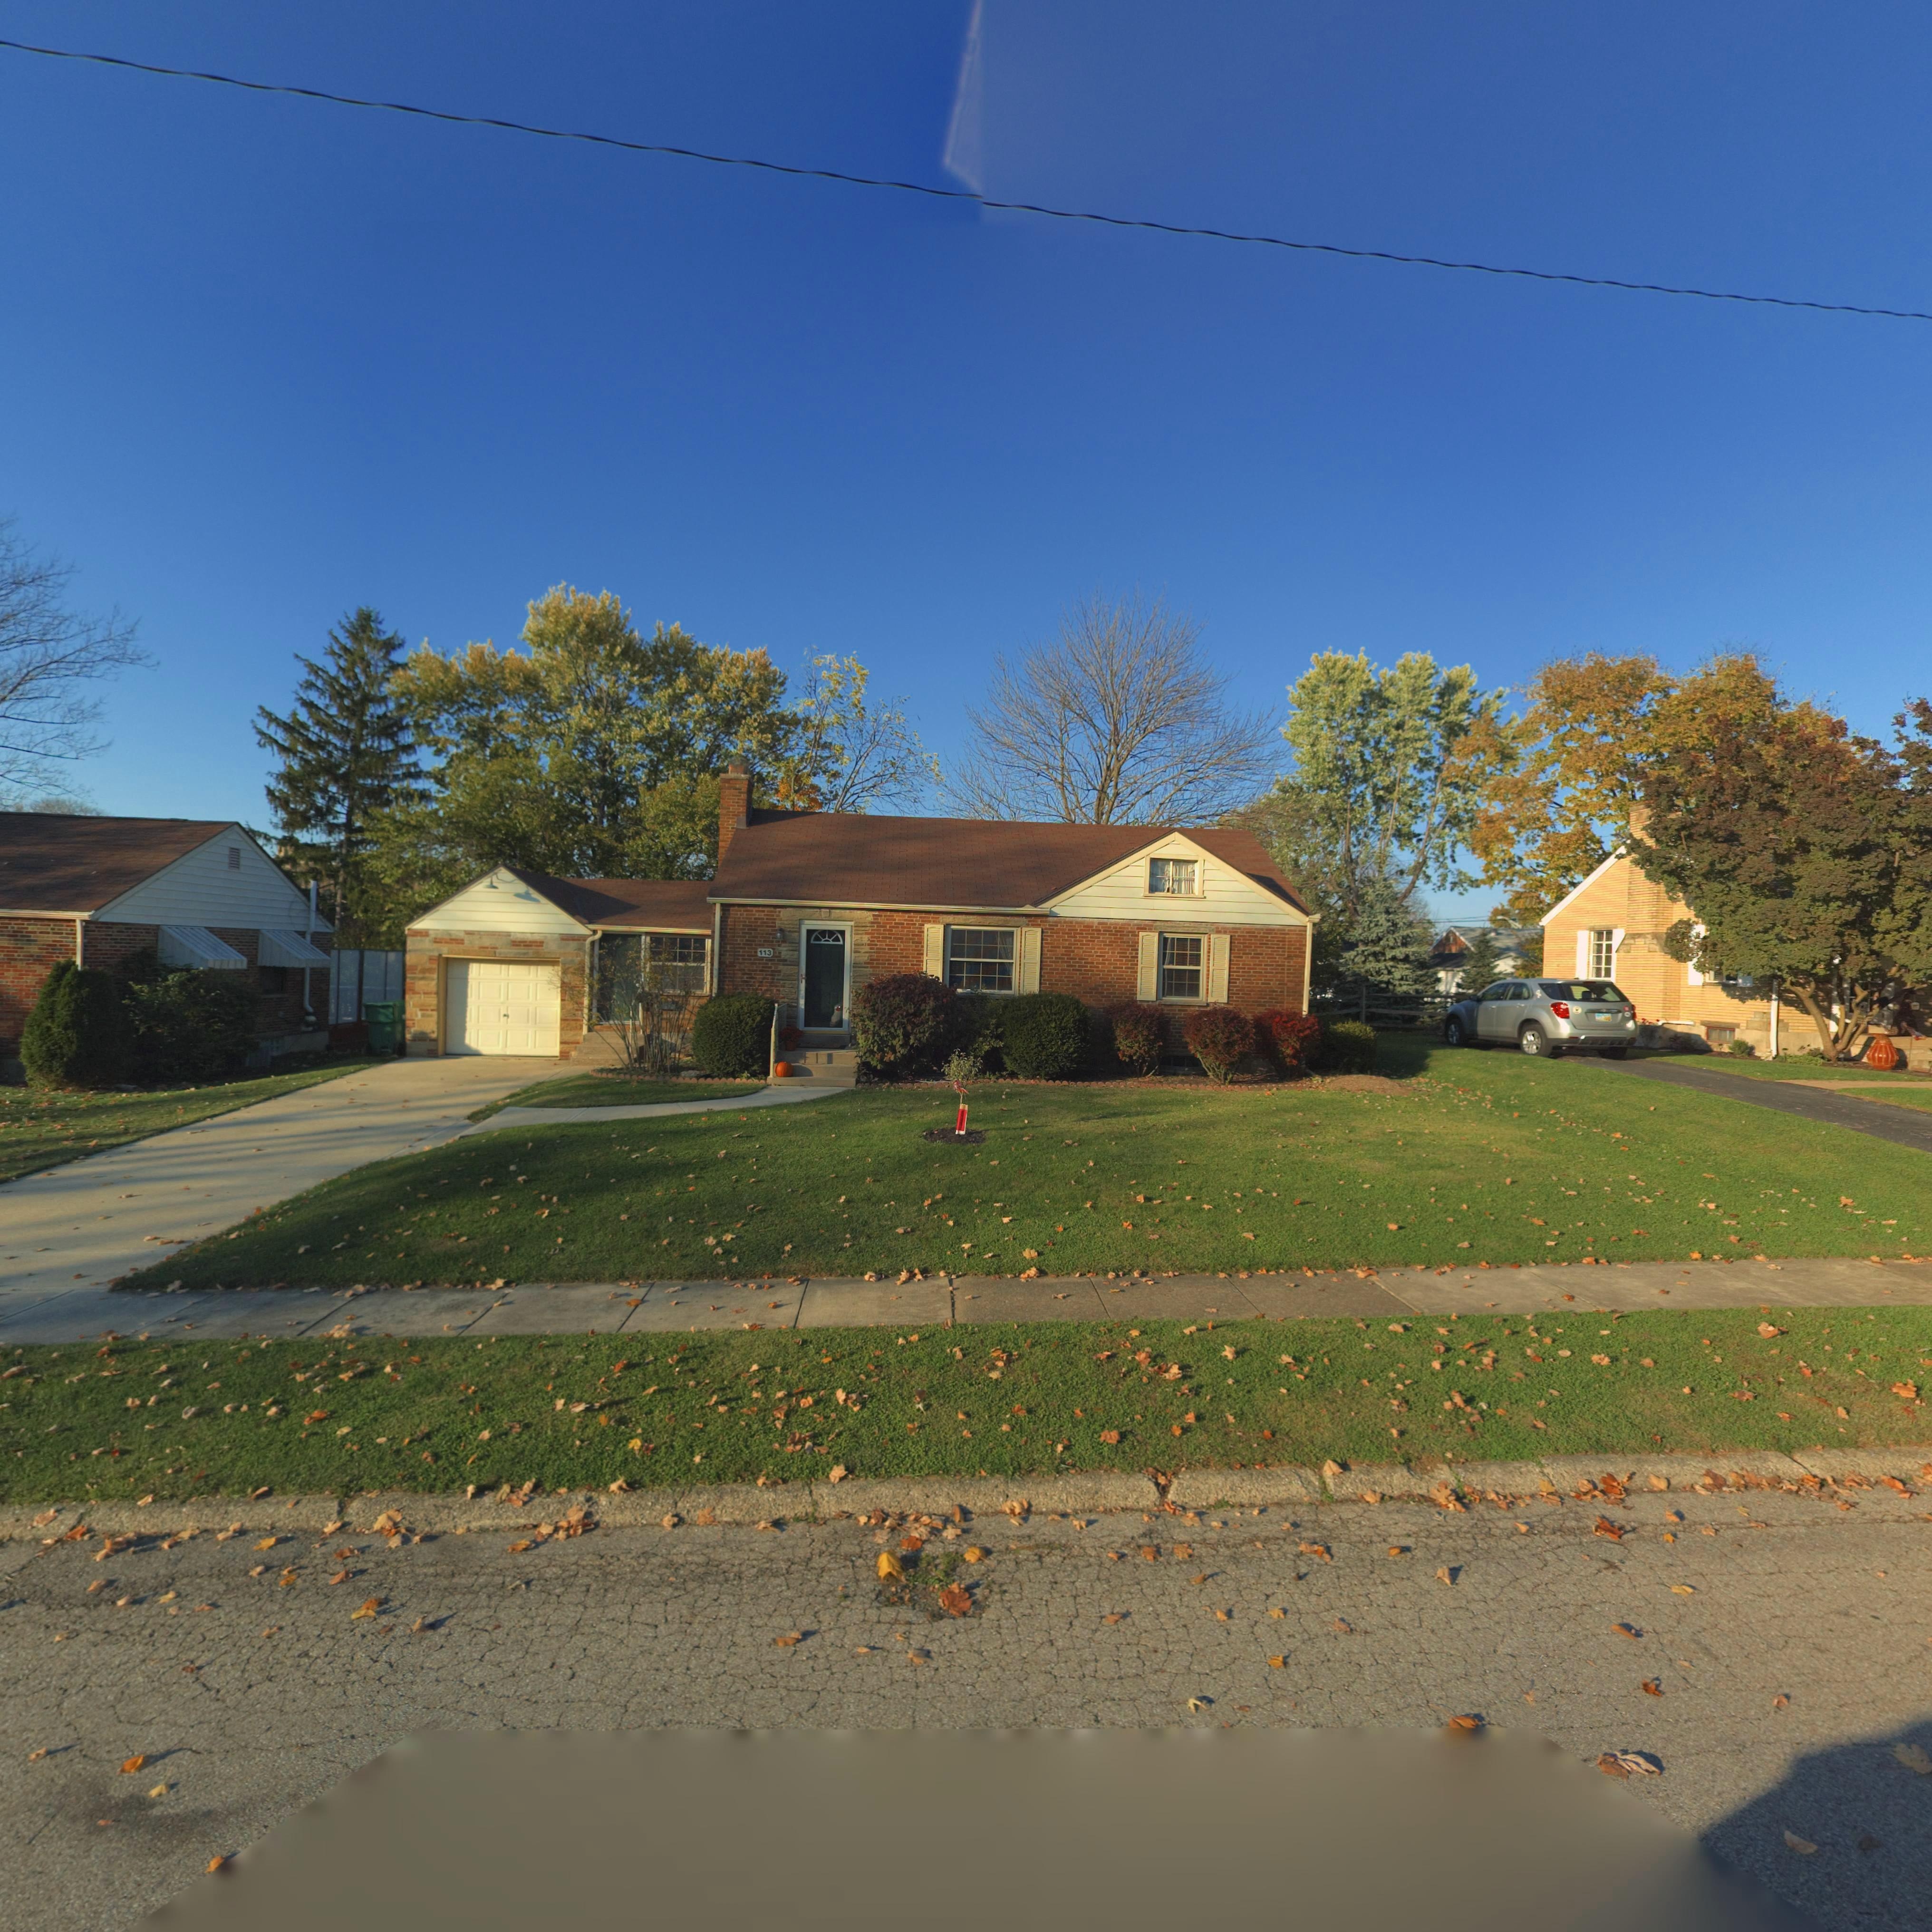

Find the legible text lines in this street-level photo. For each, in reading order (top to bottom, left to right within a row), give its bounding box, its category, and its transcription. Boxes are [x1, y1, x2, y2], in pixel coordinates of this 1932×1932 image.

[758, 949, 772, 956] StreetNumber: 113